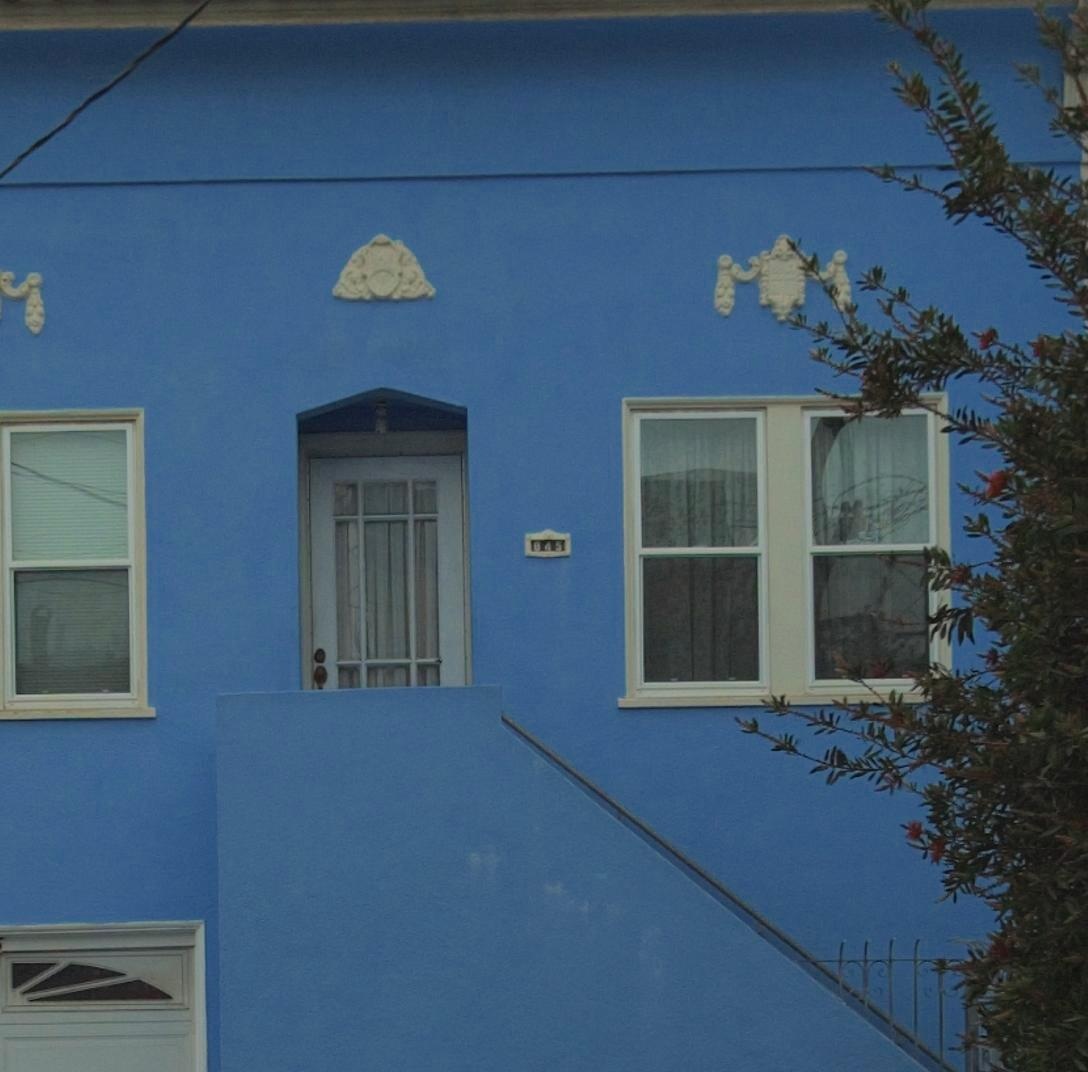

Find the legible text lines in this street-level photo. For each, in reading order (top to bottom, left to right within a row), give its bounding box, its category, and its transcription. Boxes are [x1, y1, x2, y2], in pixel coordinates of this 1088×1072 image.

[530, 539, 565, 552] StreetNumber: 845